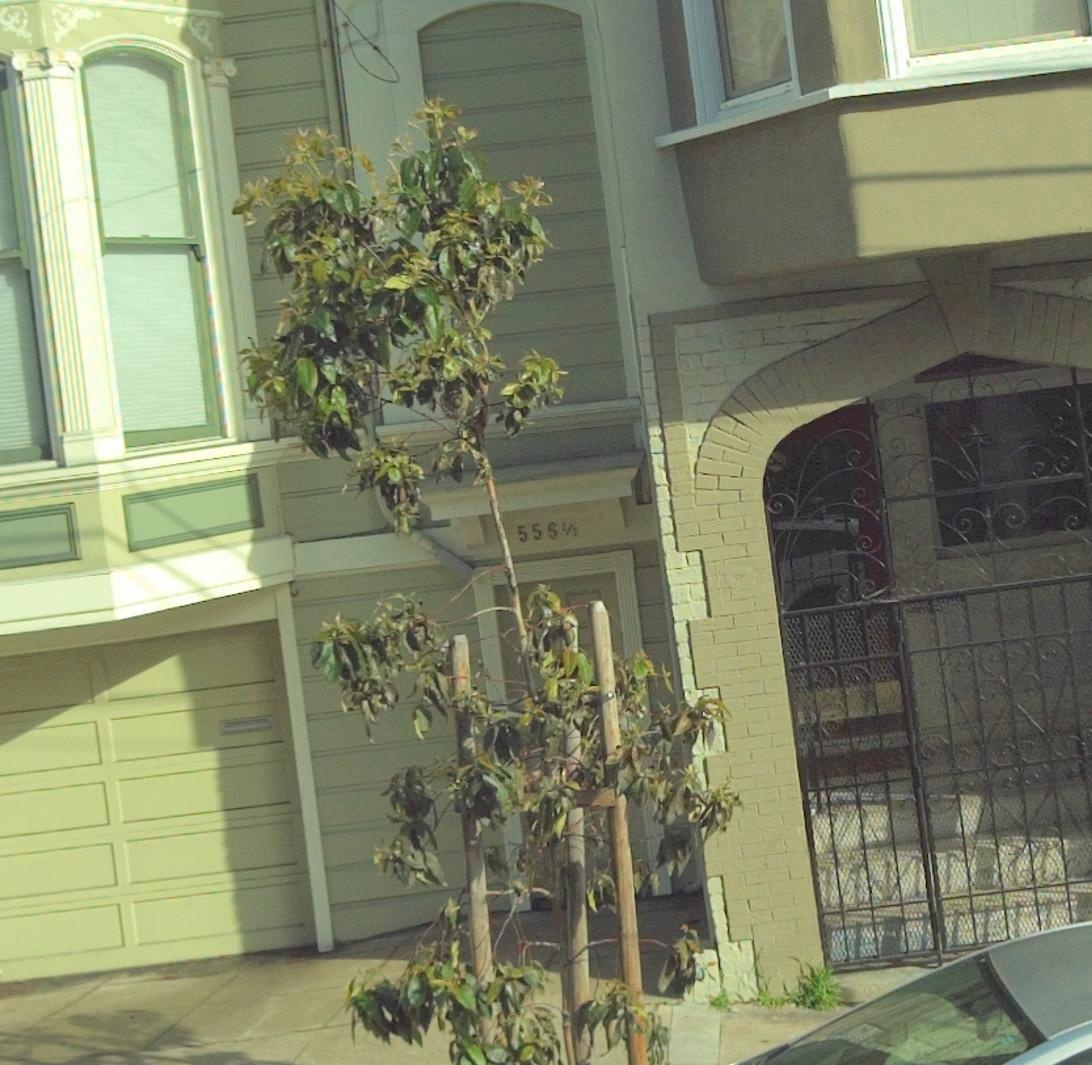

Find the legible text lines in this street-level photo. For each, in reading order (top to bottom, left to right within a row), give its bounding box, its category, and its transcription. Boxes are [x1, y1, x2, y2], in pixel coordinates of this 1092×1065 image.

[514, 518, 582, 546] StreetNumber: 556 1/2